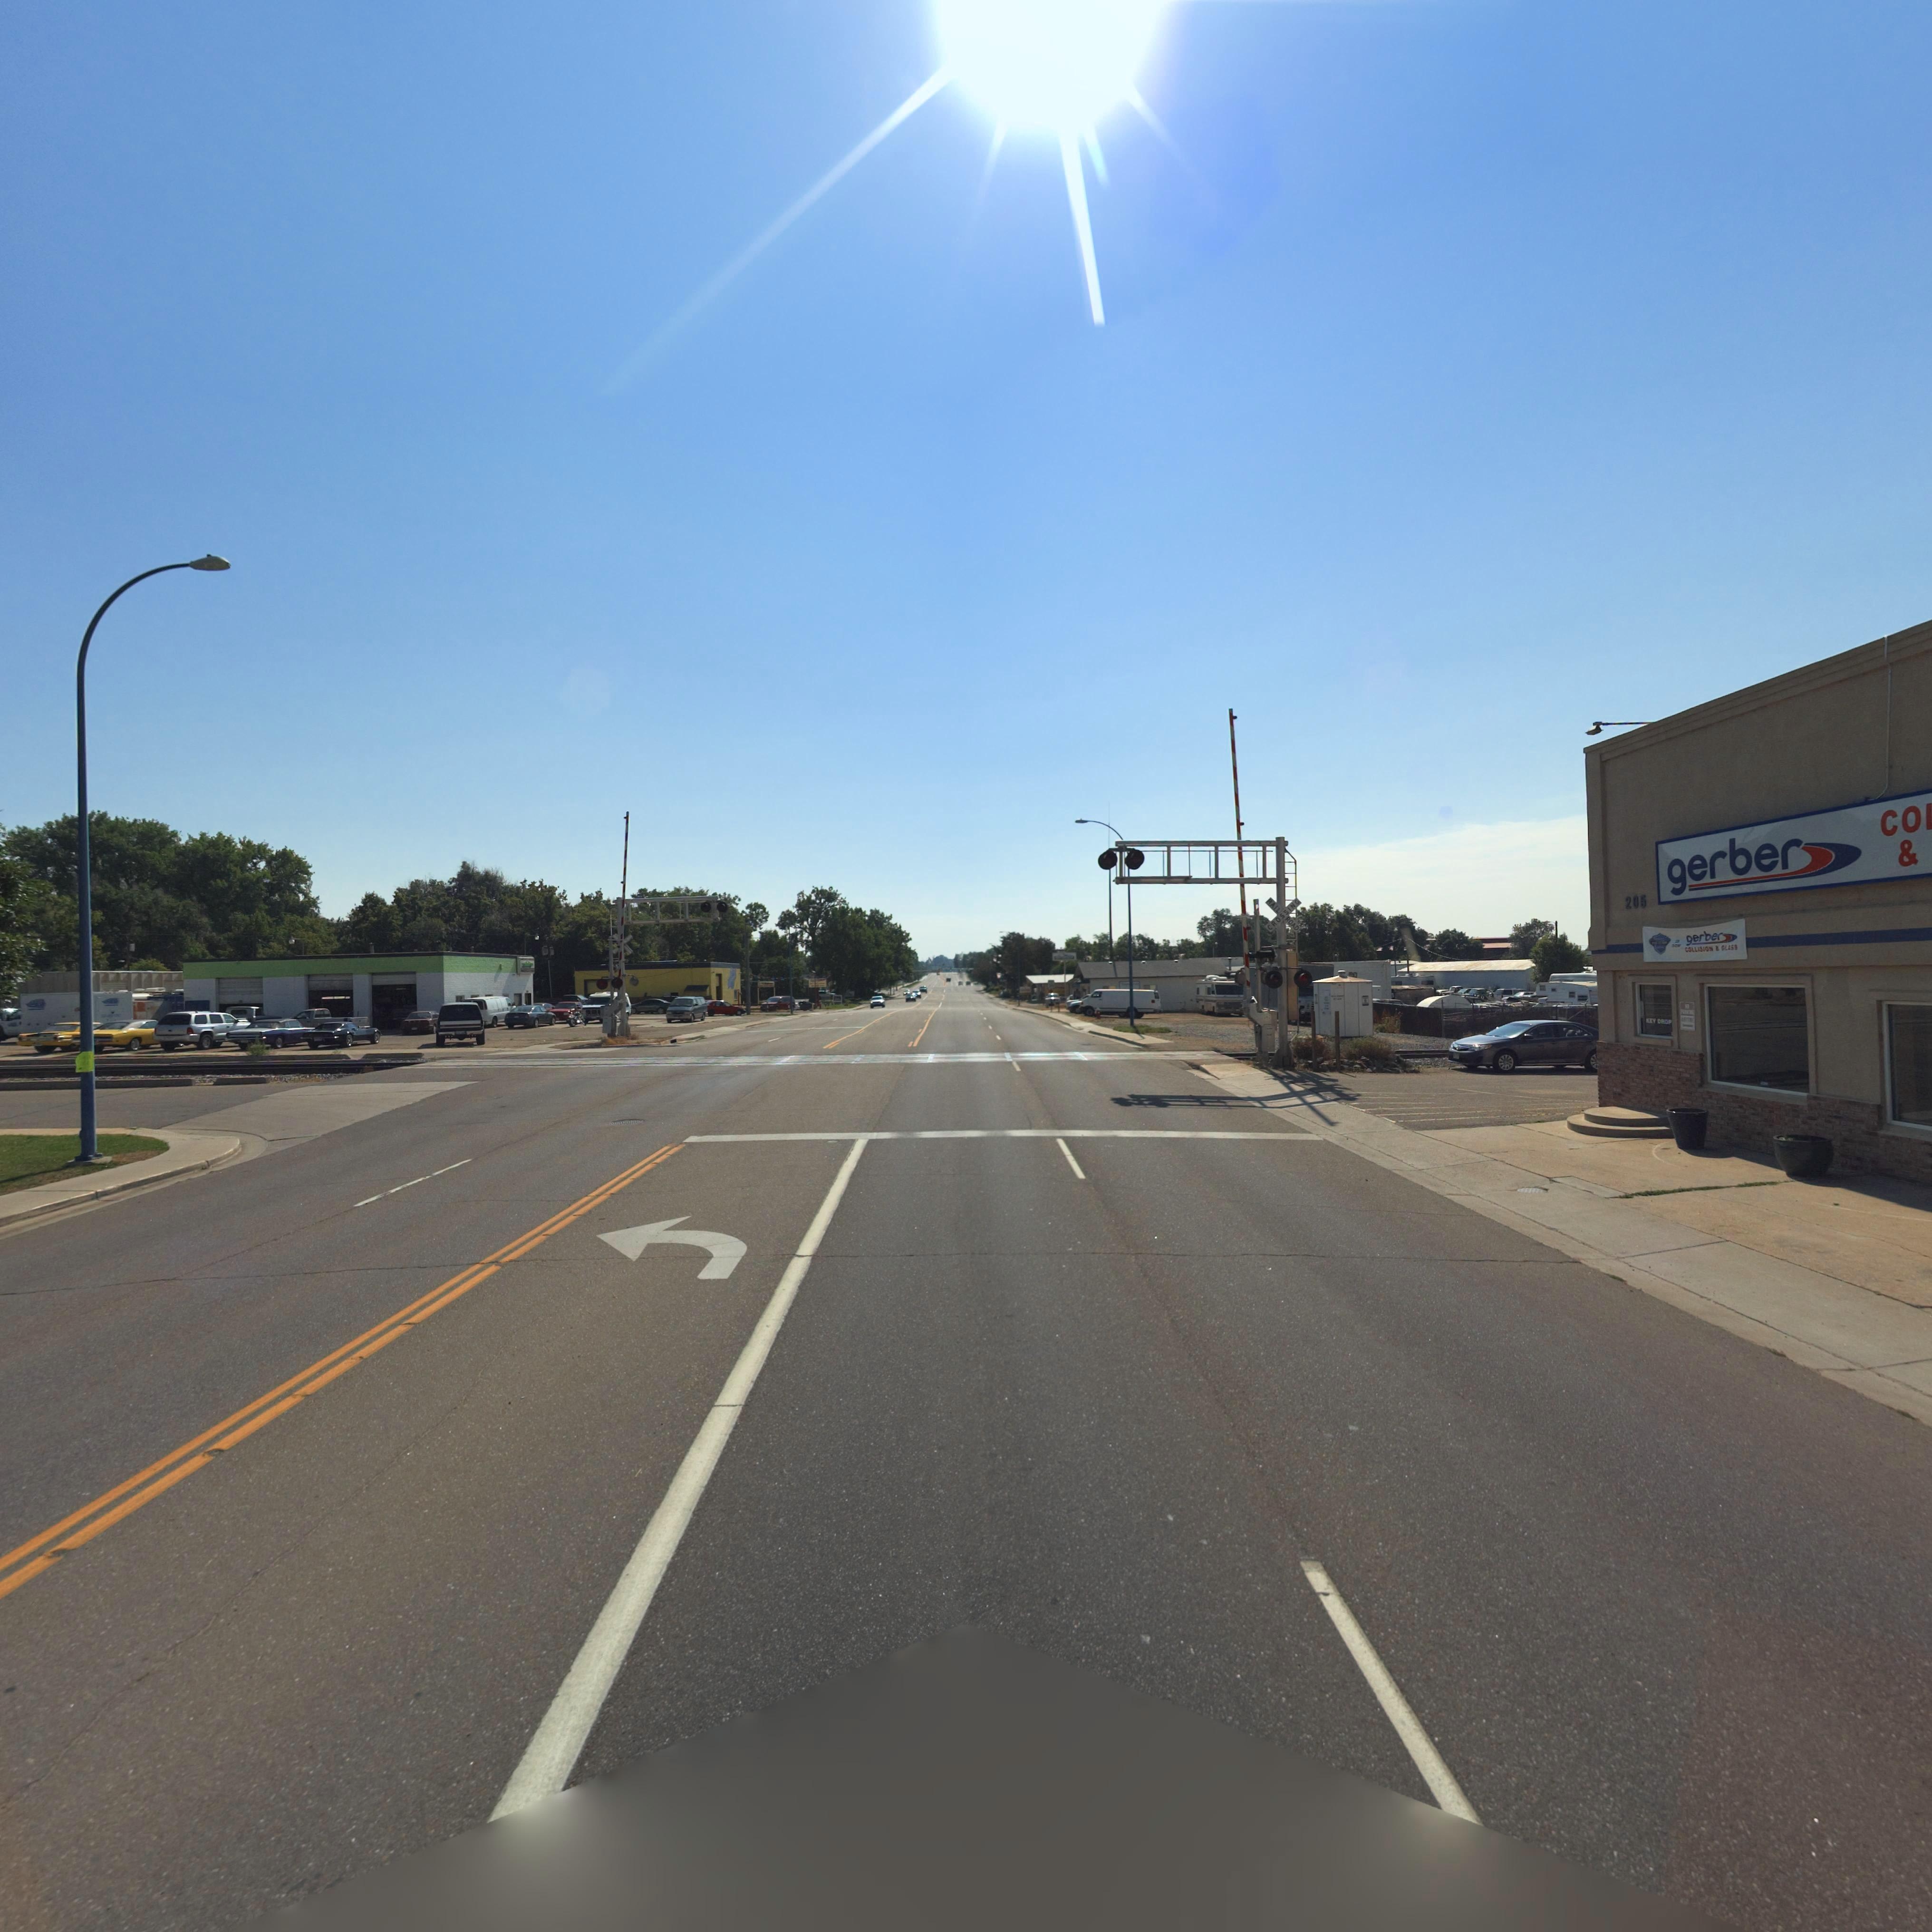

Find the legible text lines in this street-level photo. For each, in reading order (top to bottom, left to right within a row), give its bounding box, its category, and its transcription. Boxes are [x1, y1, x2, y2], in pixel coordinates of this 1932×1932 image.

[1878, 803, 1923, 837] BusinessName: CO
[1666, 835, 1805, 897] BusinessName: gerber
[1896, 838, 1920, 869] BusinessName: &
[1624, 893, 1647, 910] StreetNumber: 205
[1685, 930, 1723, 947] BusinessName: gerber
[1684, 944, 1738, 953] BusinessName: C*LLI*ION & GLASS